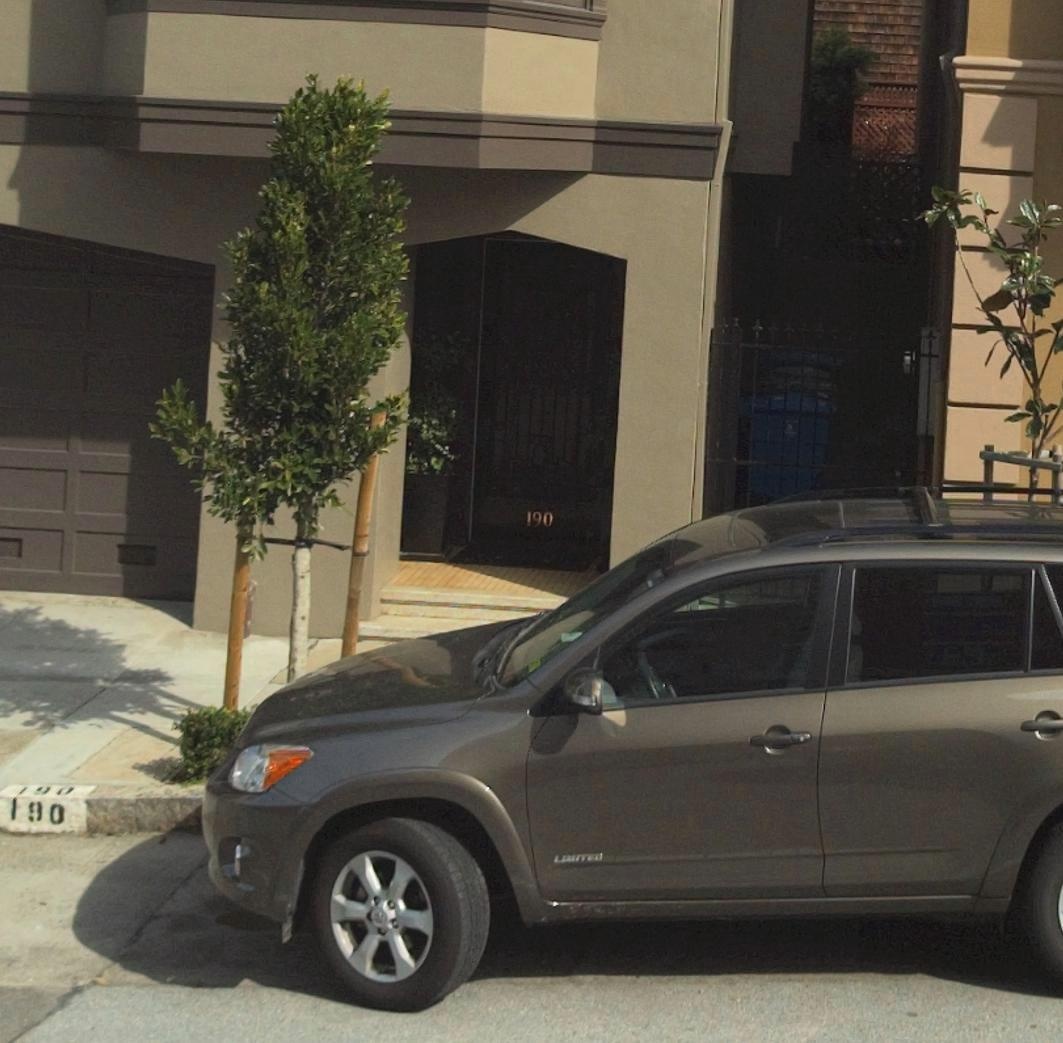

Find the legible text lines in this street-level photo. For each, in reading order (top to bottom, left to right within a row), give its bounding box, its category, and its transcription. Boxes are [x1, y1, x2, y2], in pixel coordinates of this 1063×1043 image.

[525, 509, 556, 530] StreetNumber: 190
[13, 783, 79, 799] StreetNumber: 190
[7, 797, 69, 828] StreetNumber: 190